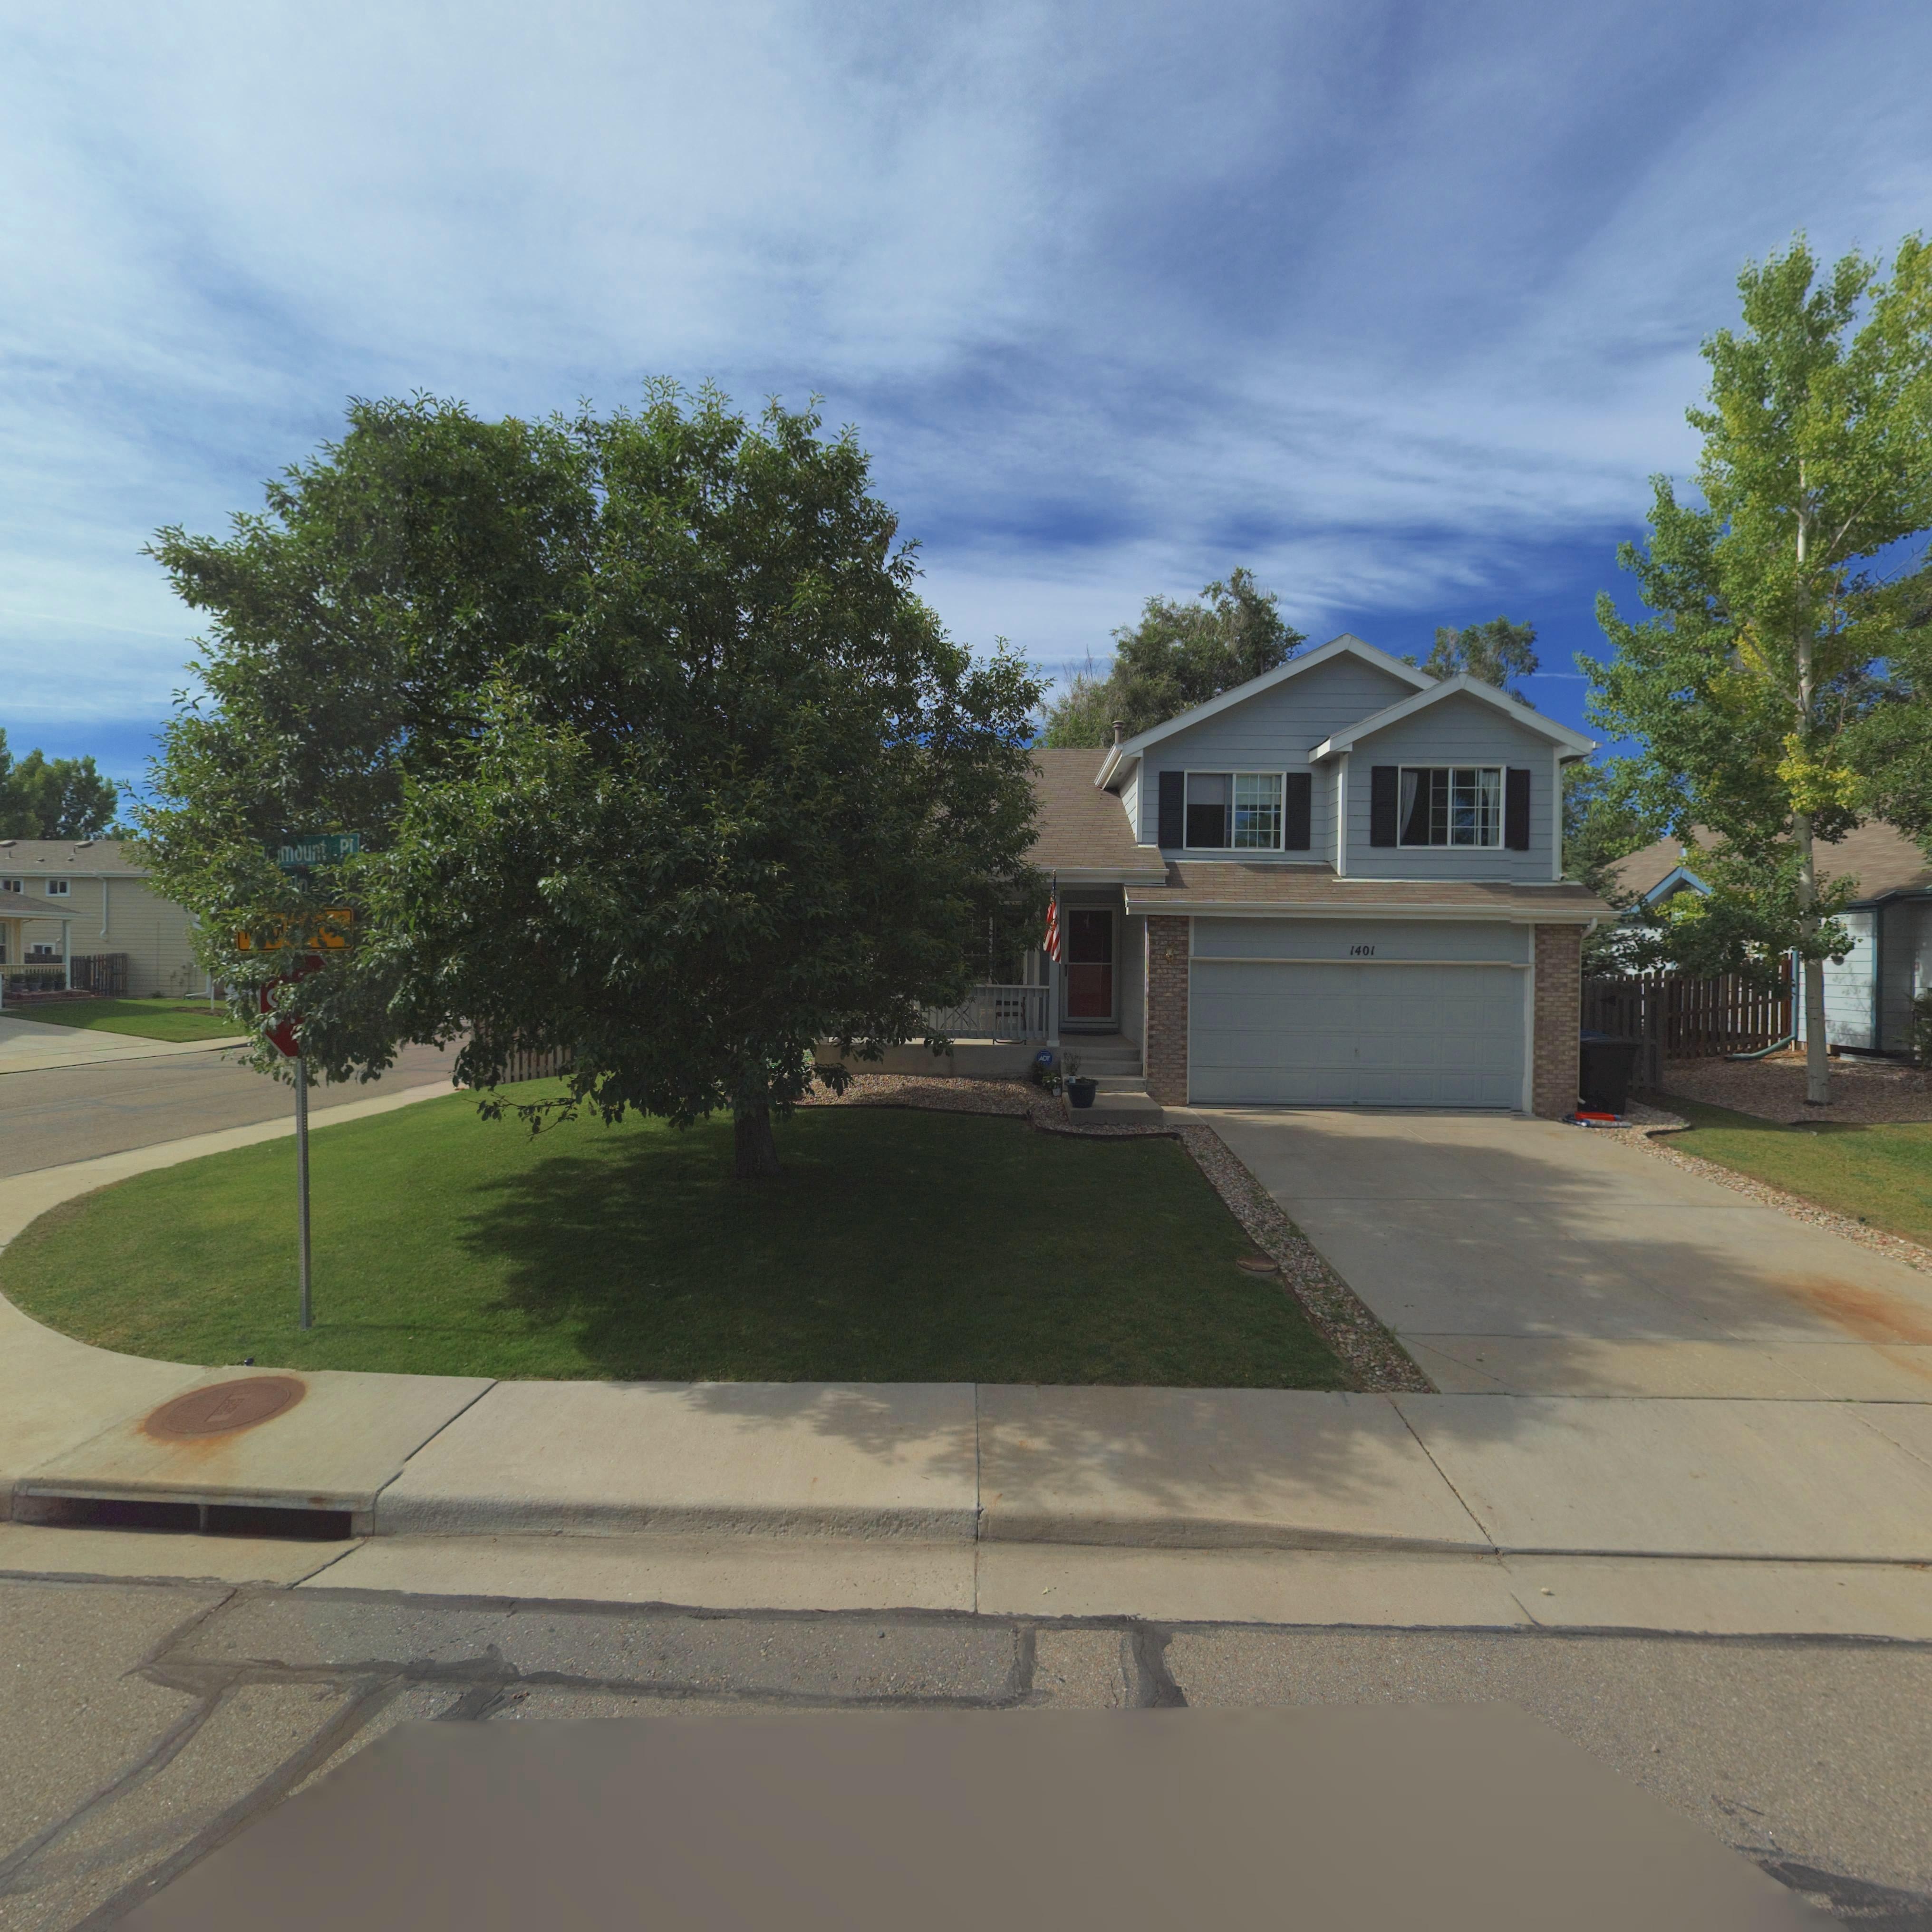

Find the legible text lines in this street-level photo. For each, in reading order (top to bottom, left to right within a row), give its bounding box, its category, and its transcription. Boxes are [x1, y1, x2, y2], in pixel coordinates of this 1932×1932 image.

[280, 837, 353, 862] StreetName: mount Pl
[1349, 945, 1375, 956] StreetNumber: 1401